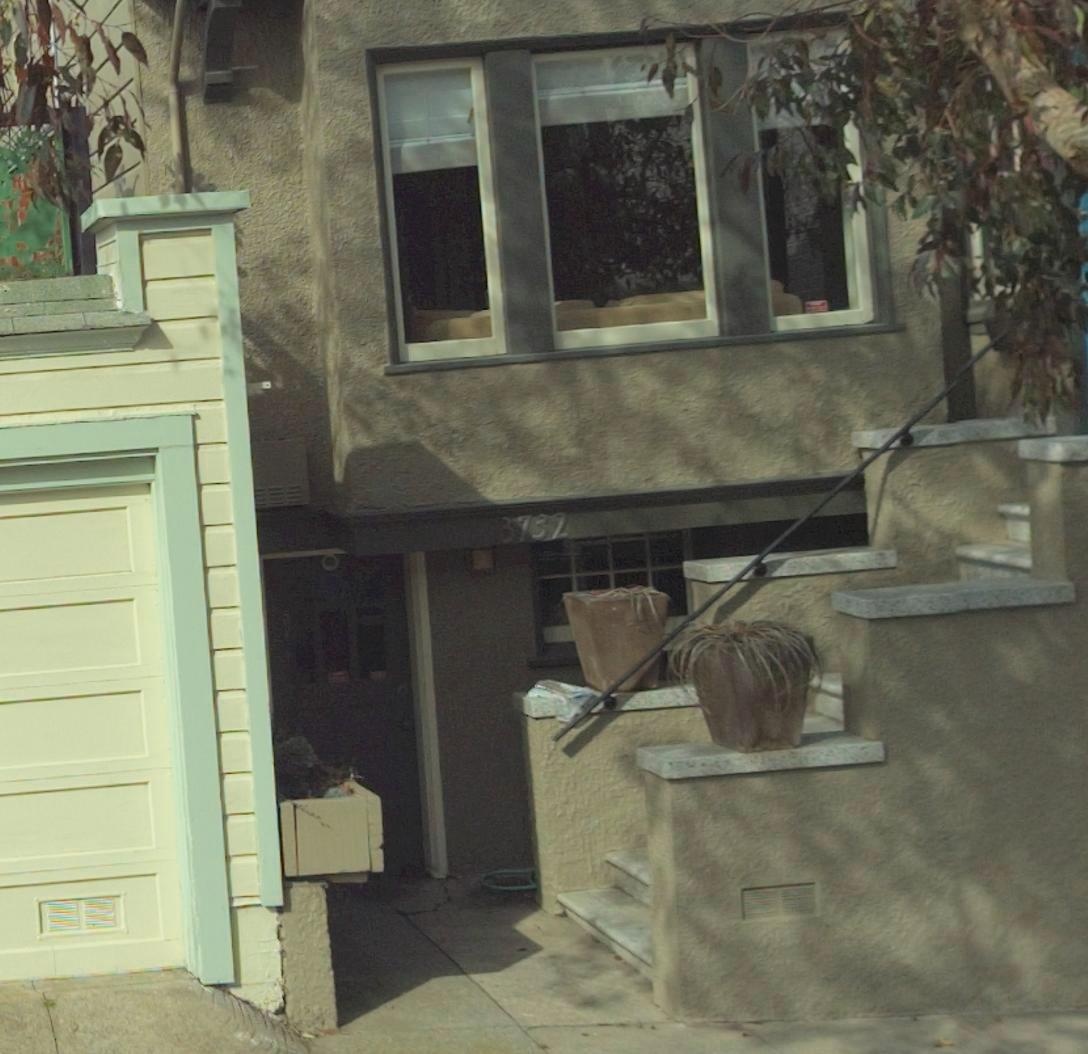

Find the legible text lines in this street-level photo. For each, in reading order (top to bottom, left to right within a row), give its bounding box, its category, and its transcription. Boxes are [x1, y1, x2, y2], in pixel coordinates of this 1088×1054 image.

[500, 510, 570, 546] StreetNumber: 3732